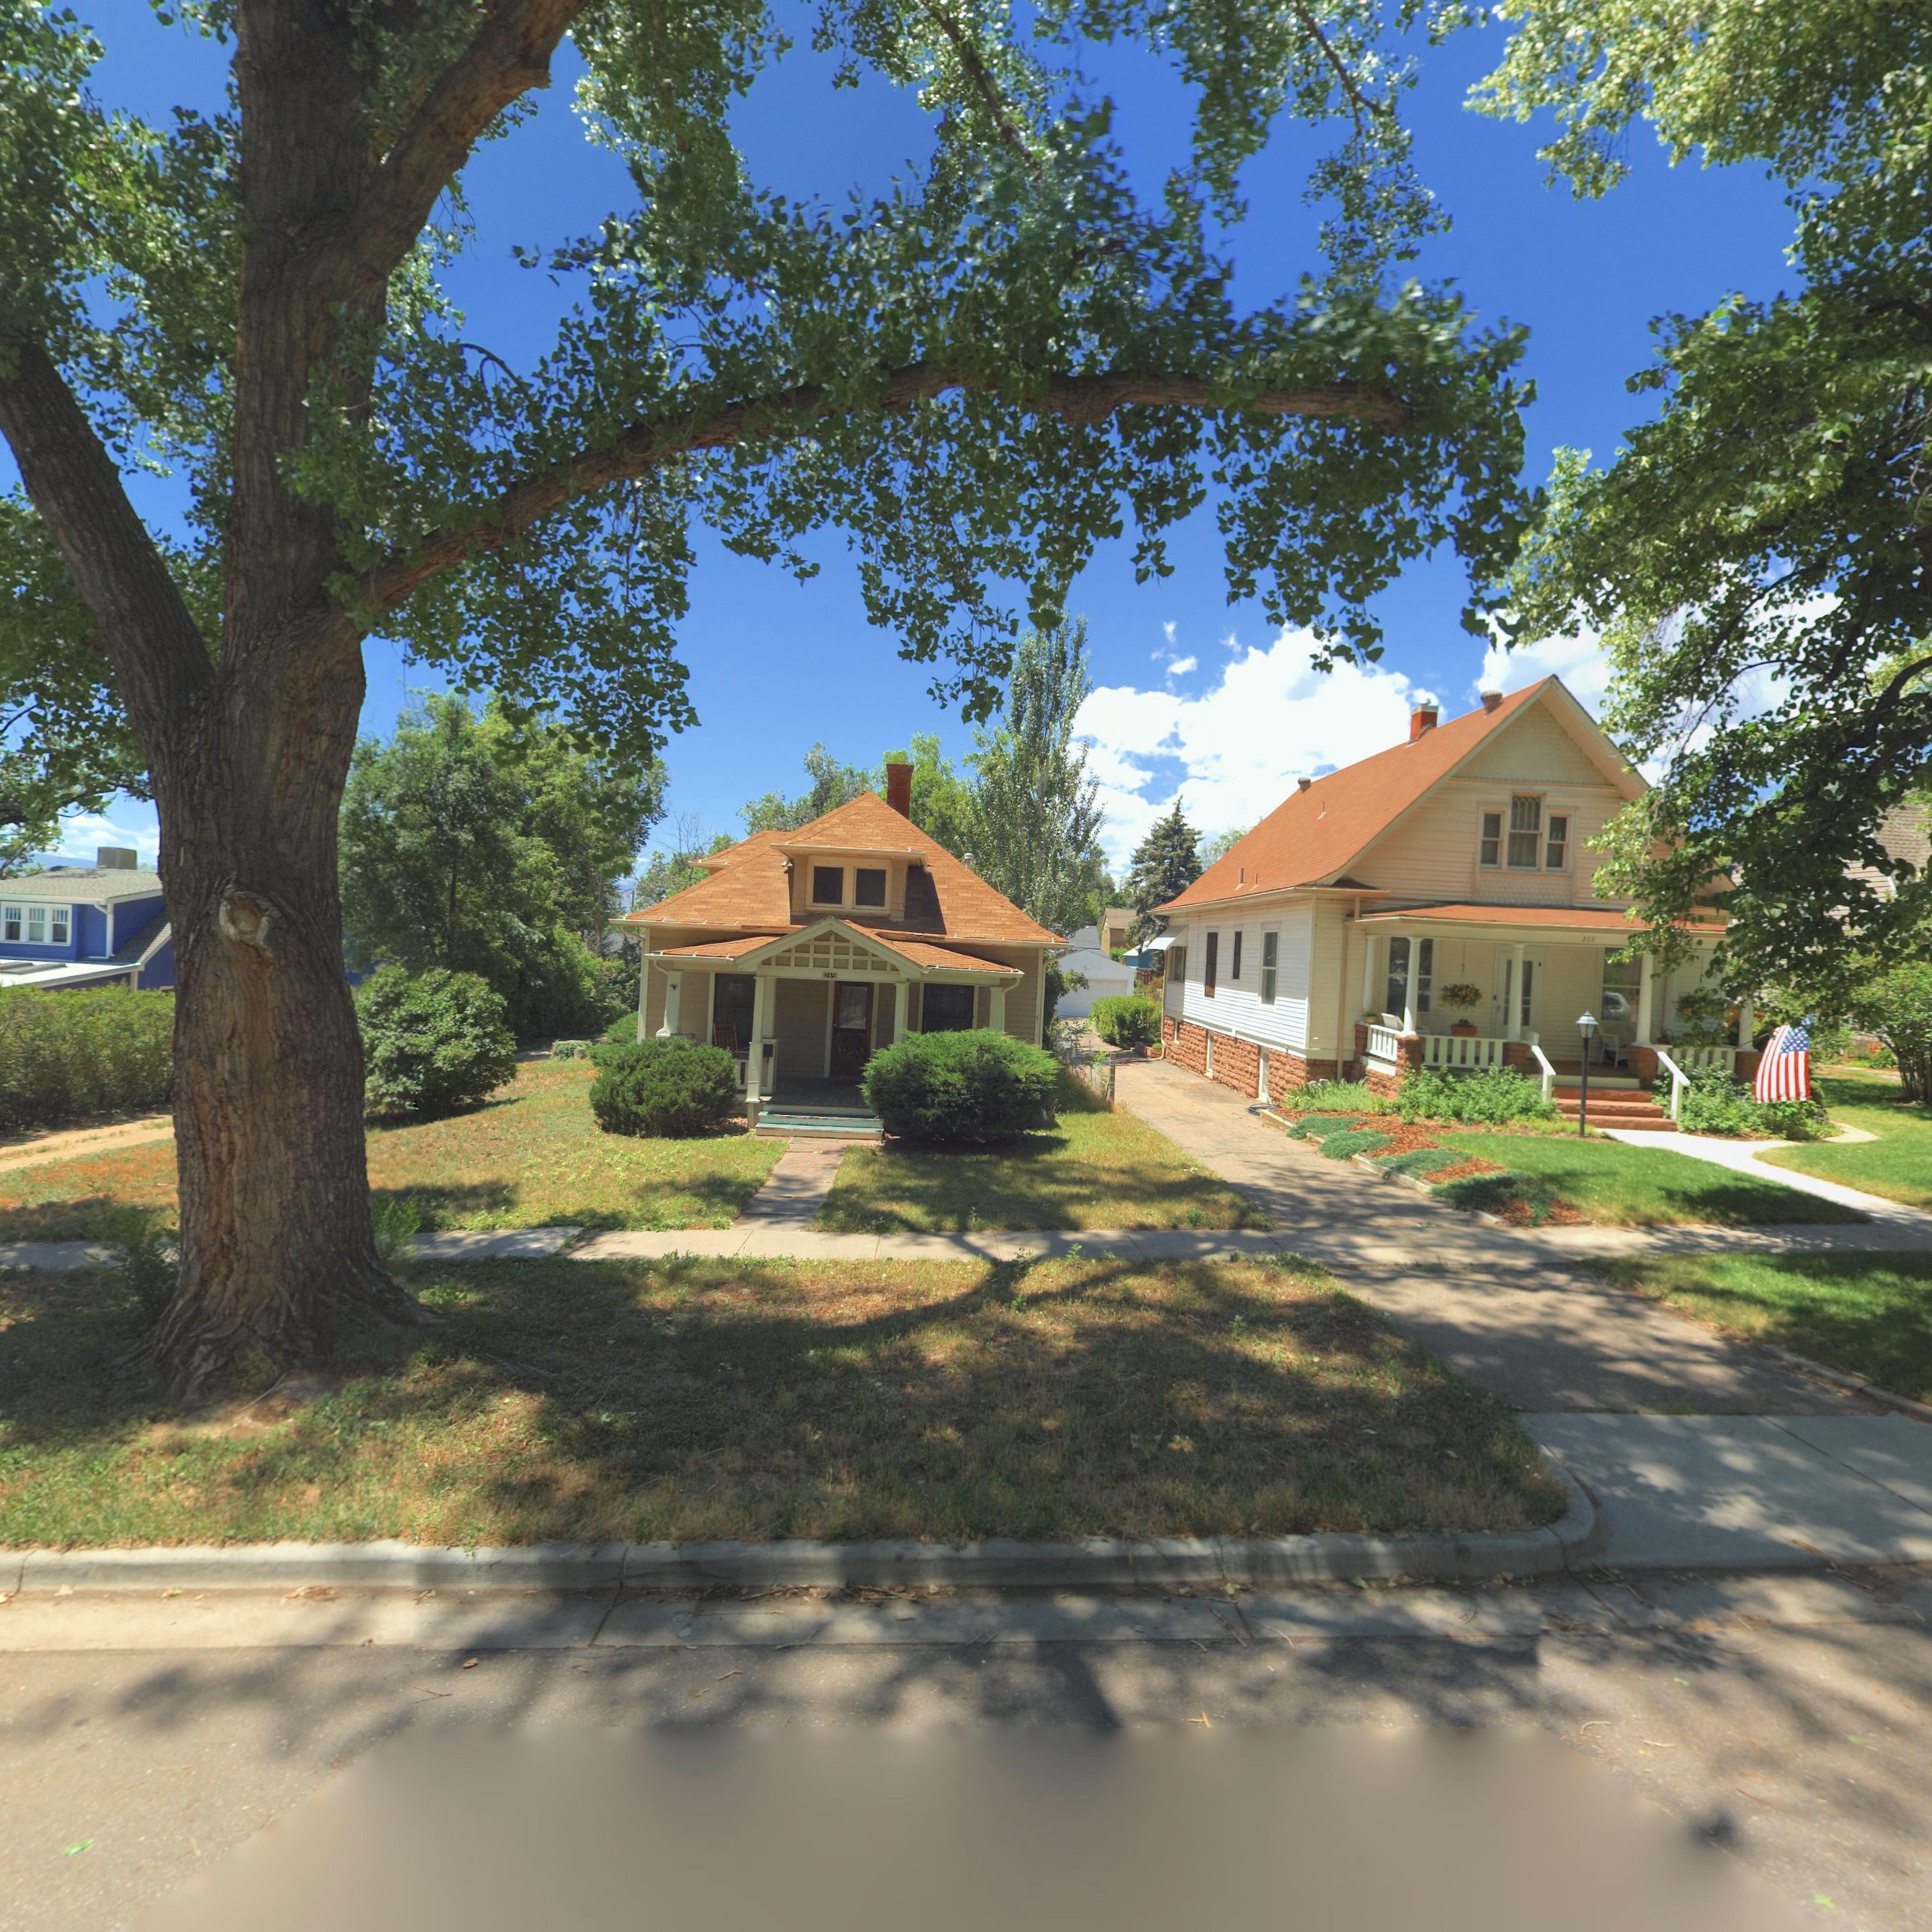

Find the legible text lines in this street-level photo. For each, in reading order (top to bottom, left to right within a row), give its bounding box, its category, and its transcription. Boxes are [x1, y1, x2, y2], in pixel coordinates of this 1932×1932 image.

[1581, 935, 1595, 942] StreetNumber: 269
[824, 973, 835, 978] StreetNumber: 265